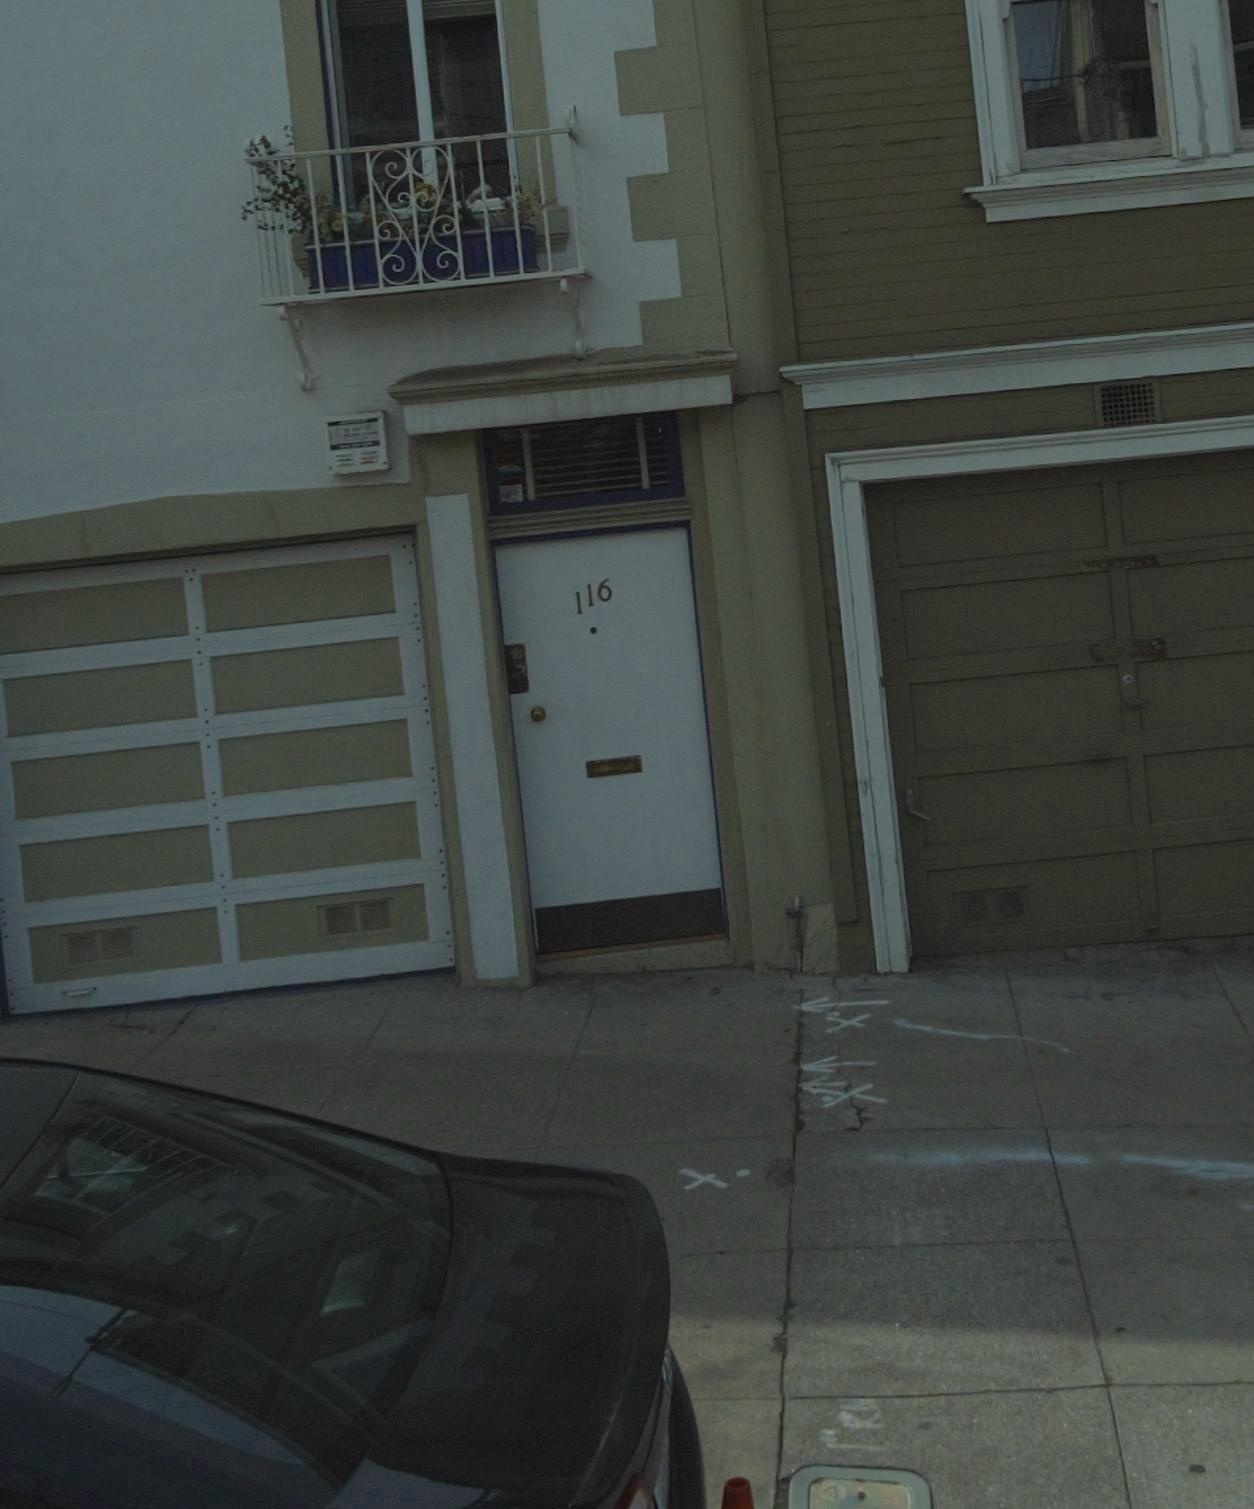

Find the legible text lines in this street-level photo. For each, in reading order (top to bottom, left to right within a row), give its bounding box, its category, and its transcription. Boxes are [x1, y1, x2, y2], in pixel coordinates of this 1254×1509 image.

[574, 575, 615, 618] StreetNumber: 116